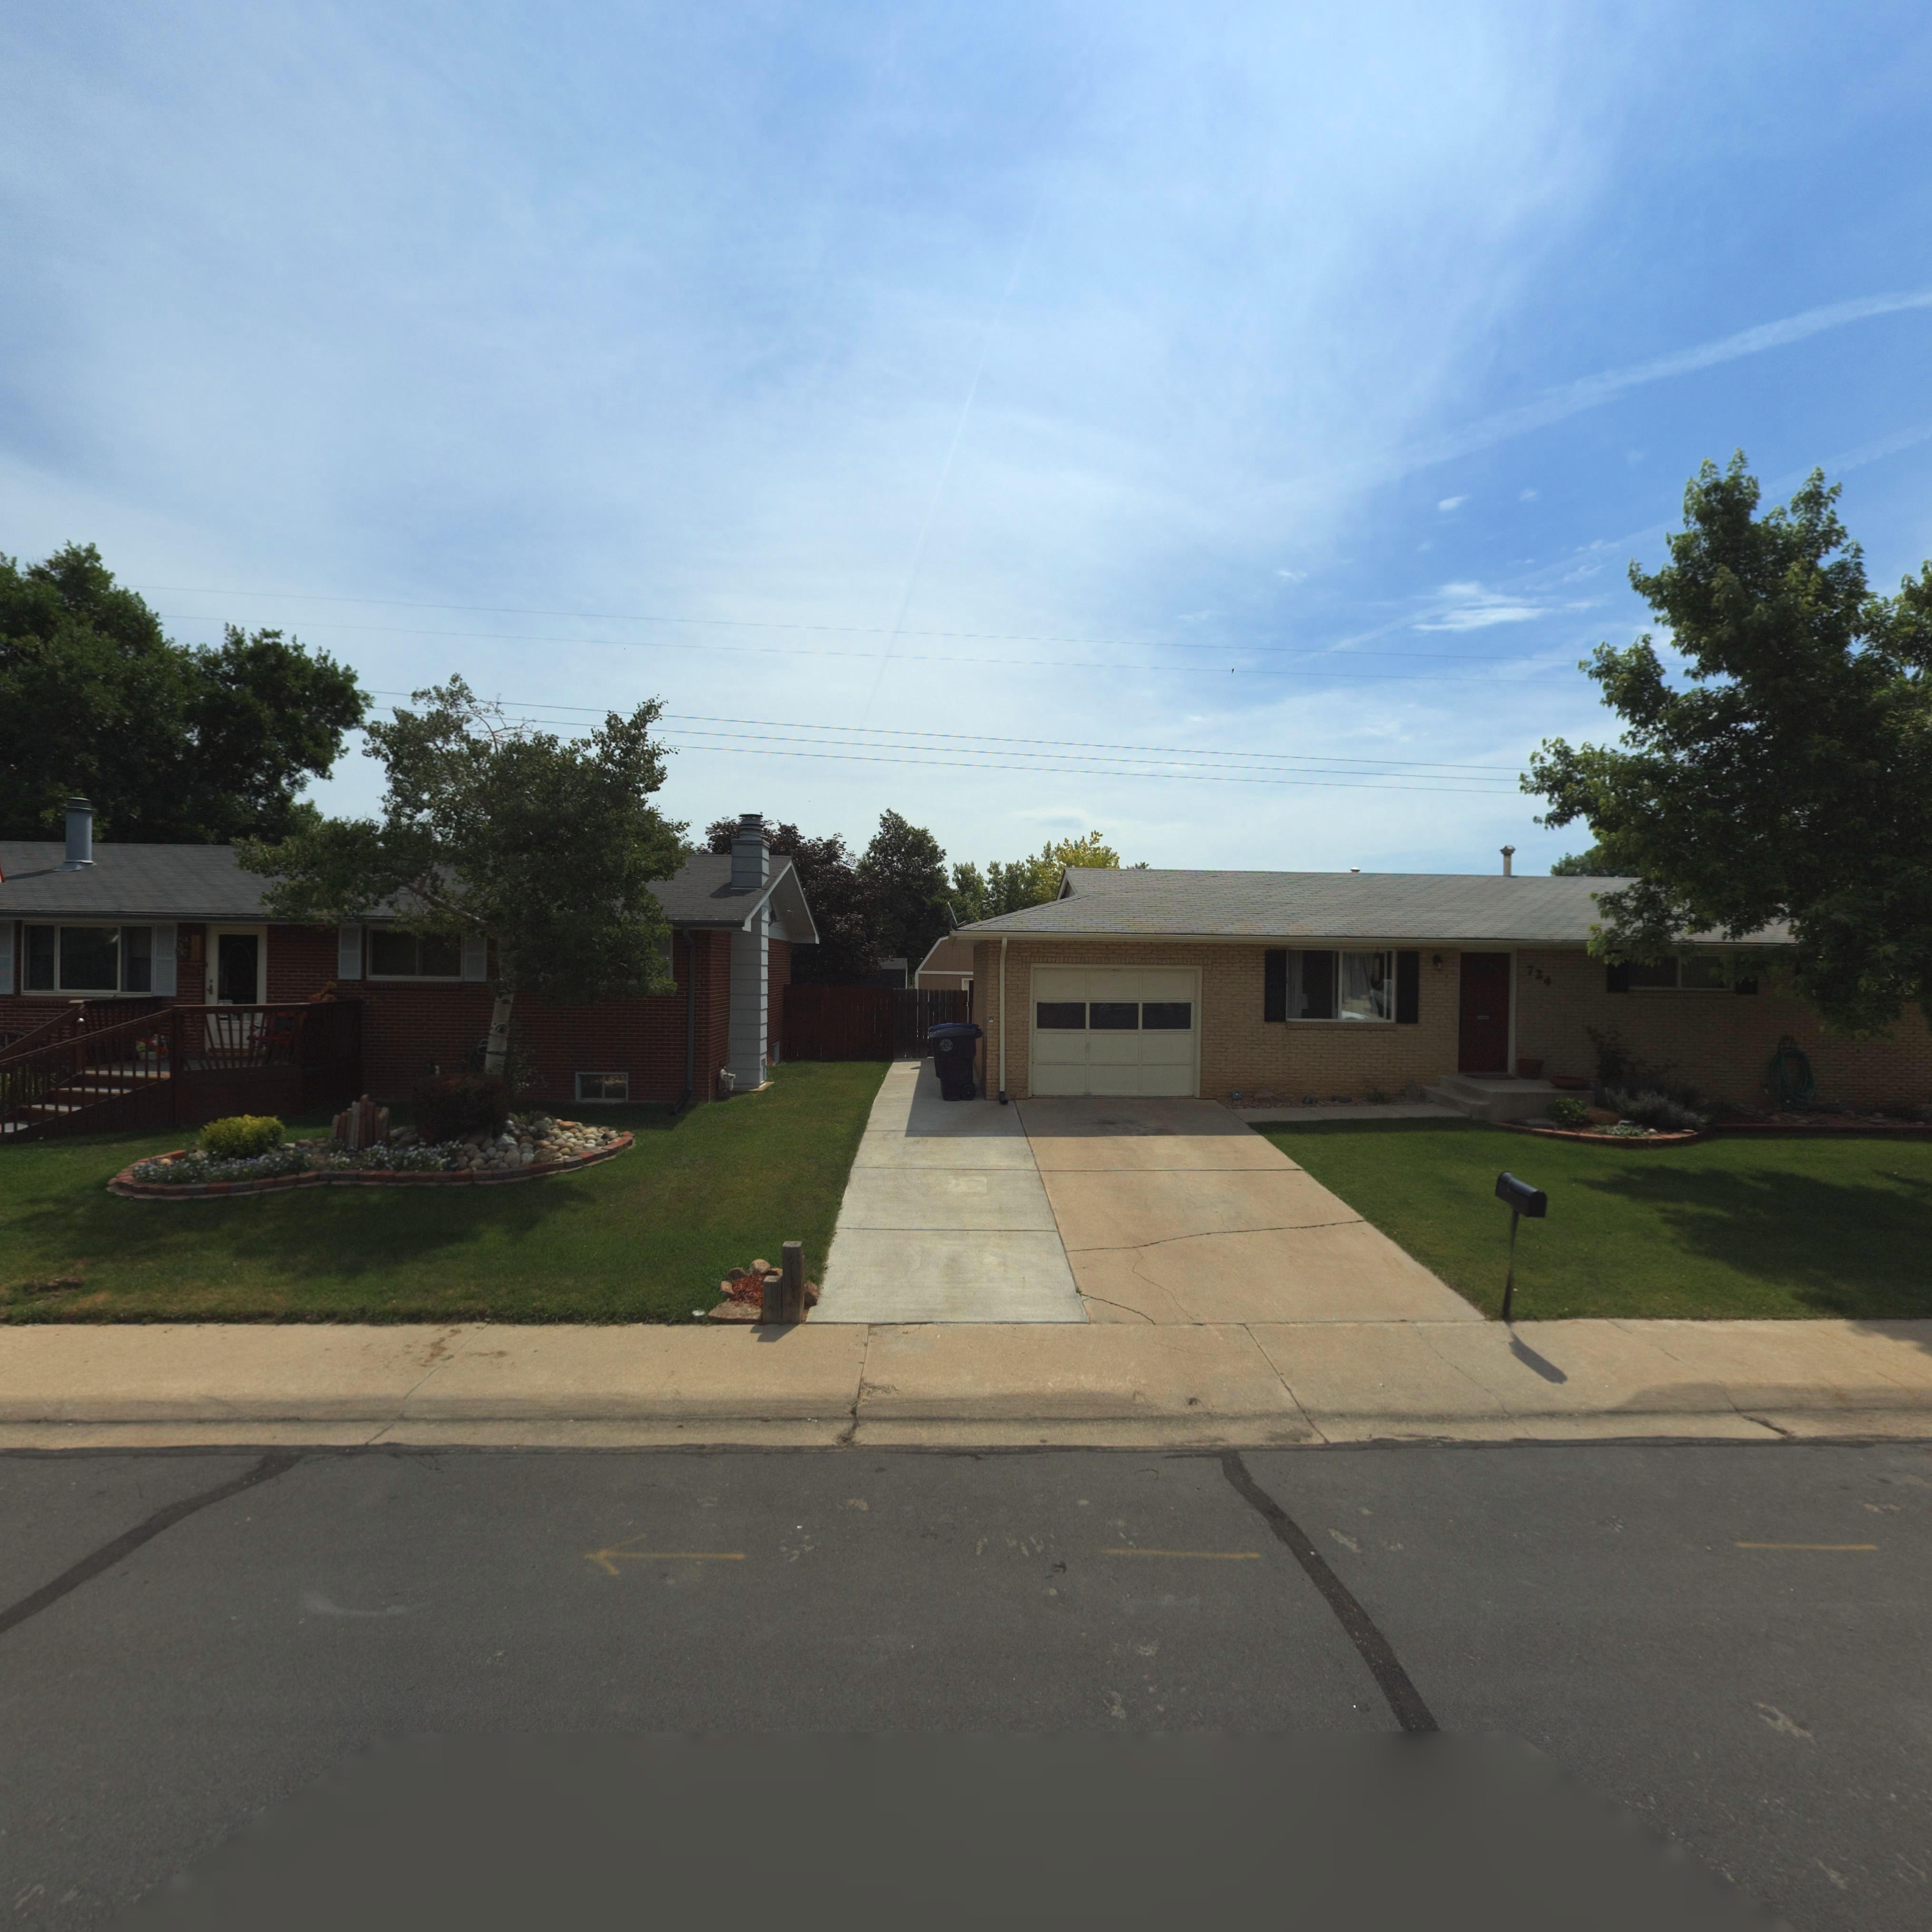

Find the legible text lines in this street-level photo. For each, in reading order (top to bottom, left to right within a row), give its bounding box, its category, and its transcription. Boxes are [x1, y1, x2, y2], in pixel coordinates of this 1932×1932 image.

[1525, 964, 1552, 987] StreetNumber: 724